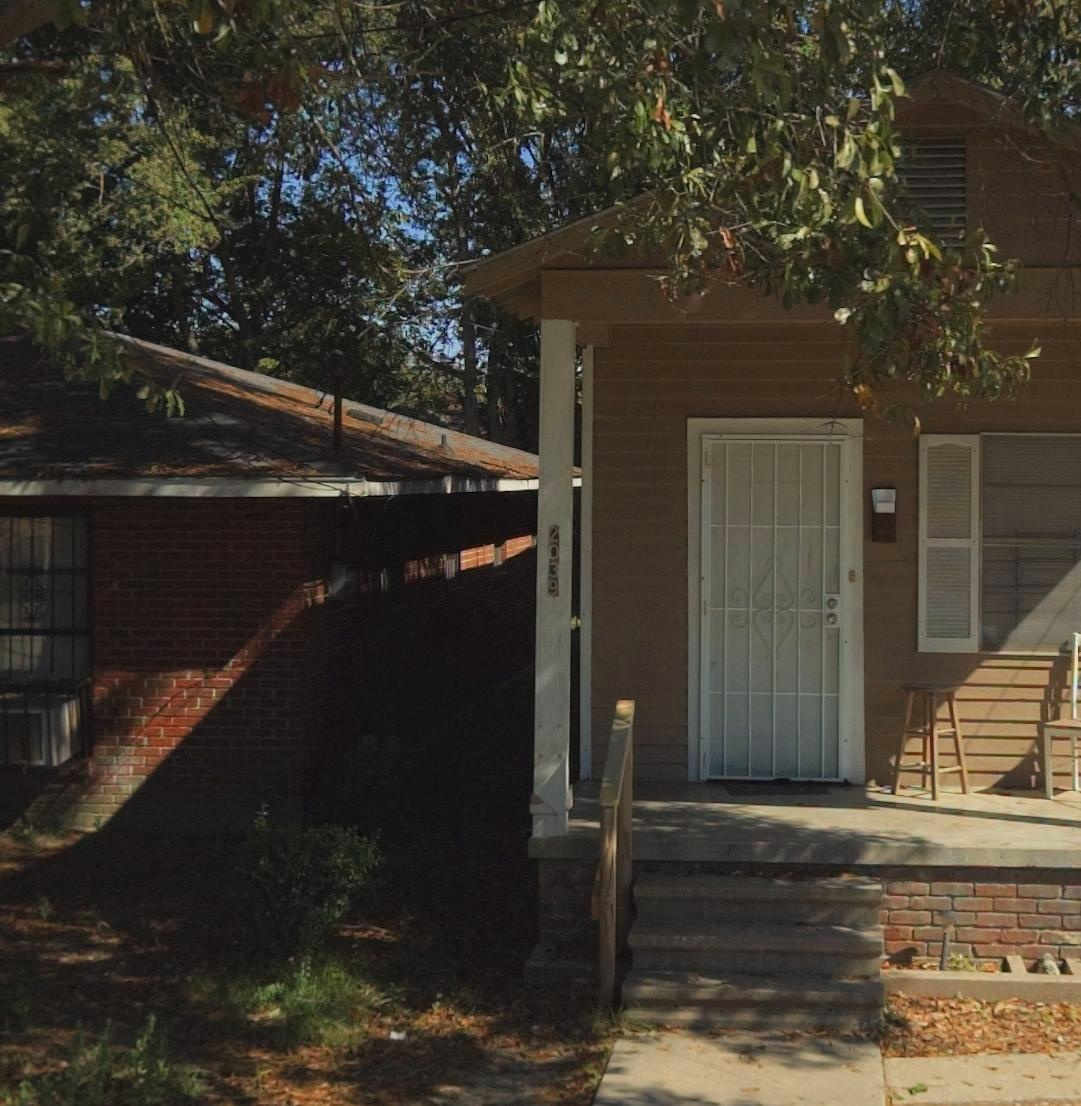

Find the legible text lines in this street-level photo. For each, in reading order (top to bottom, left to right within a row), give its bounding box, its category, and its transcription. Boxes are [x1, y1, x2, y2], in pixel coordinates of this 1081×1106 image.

[547, 524, 561, 599] StreetNumber: 2039